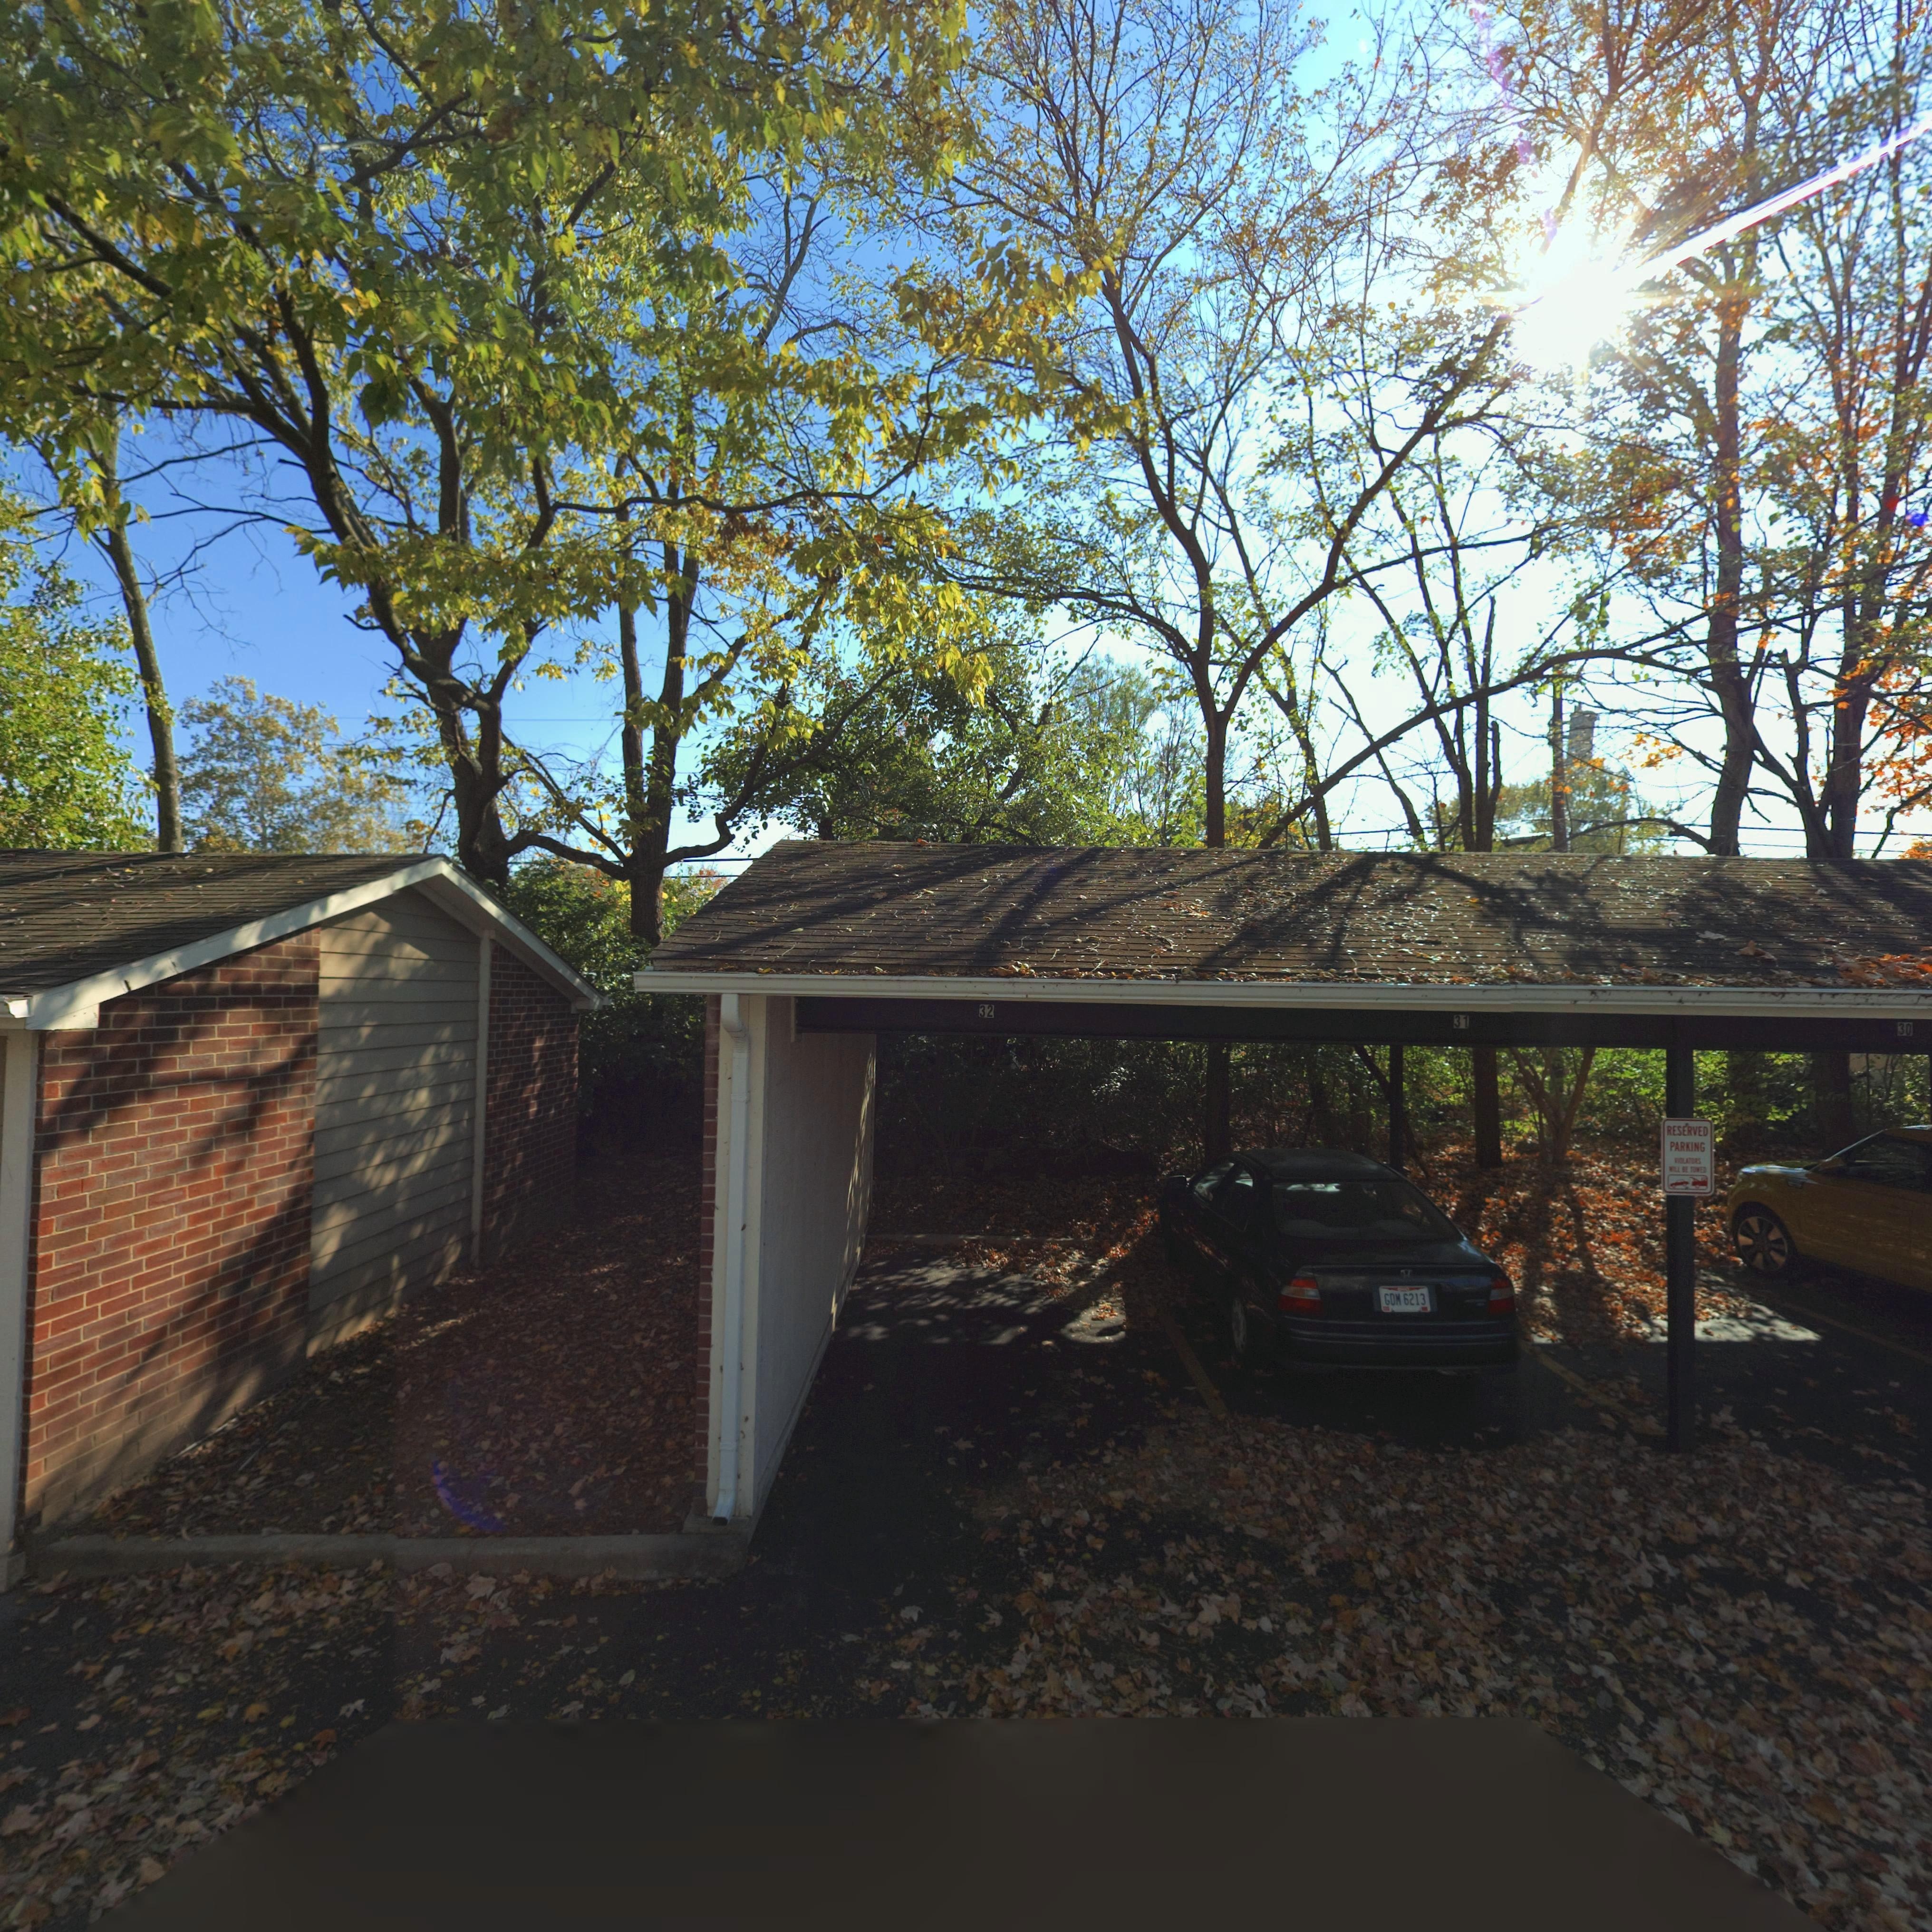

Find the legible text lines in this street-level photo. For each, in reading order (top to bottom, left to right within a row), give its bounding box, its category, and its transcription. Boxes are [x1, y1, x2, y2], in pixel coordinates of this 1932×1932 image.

[979, 1005, 994, 1018] StreetNumber: 32
[1454, 1014, 1470, 1029] StreetNumber: 31
[1897, 1022, 1913, 1036] StreetNumber: 30
[1666, 1125, 1709, 1137] None: RESERVED
[1669, 1141, 1706, 1153] None: PARKING
[1674, 1157, 1701, 1164] None: VIOLATORS
[1669, 1166, 1707, 1174] None: WILL BE TOWED
[1397, 1287, 1410, 1292] None: O**O
[1384, 1292, 1427, 1305] None: GDM*6213